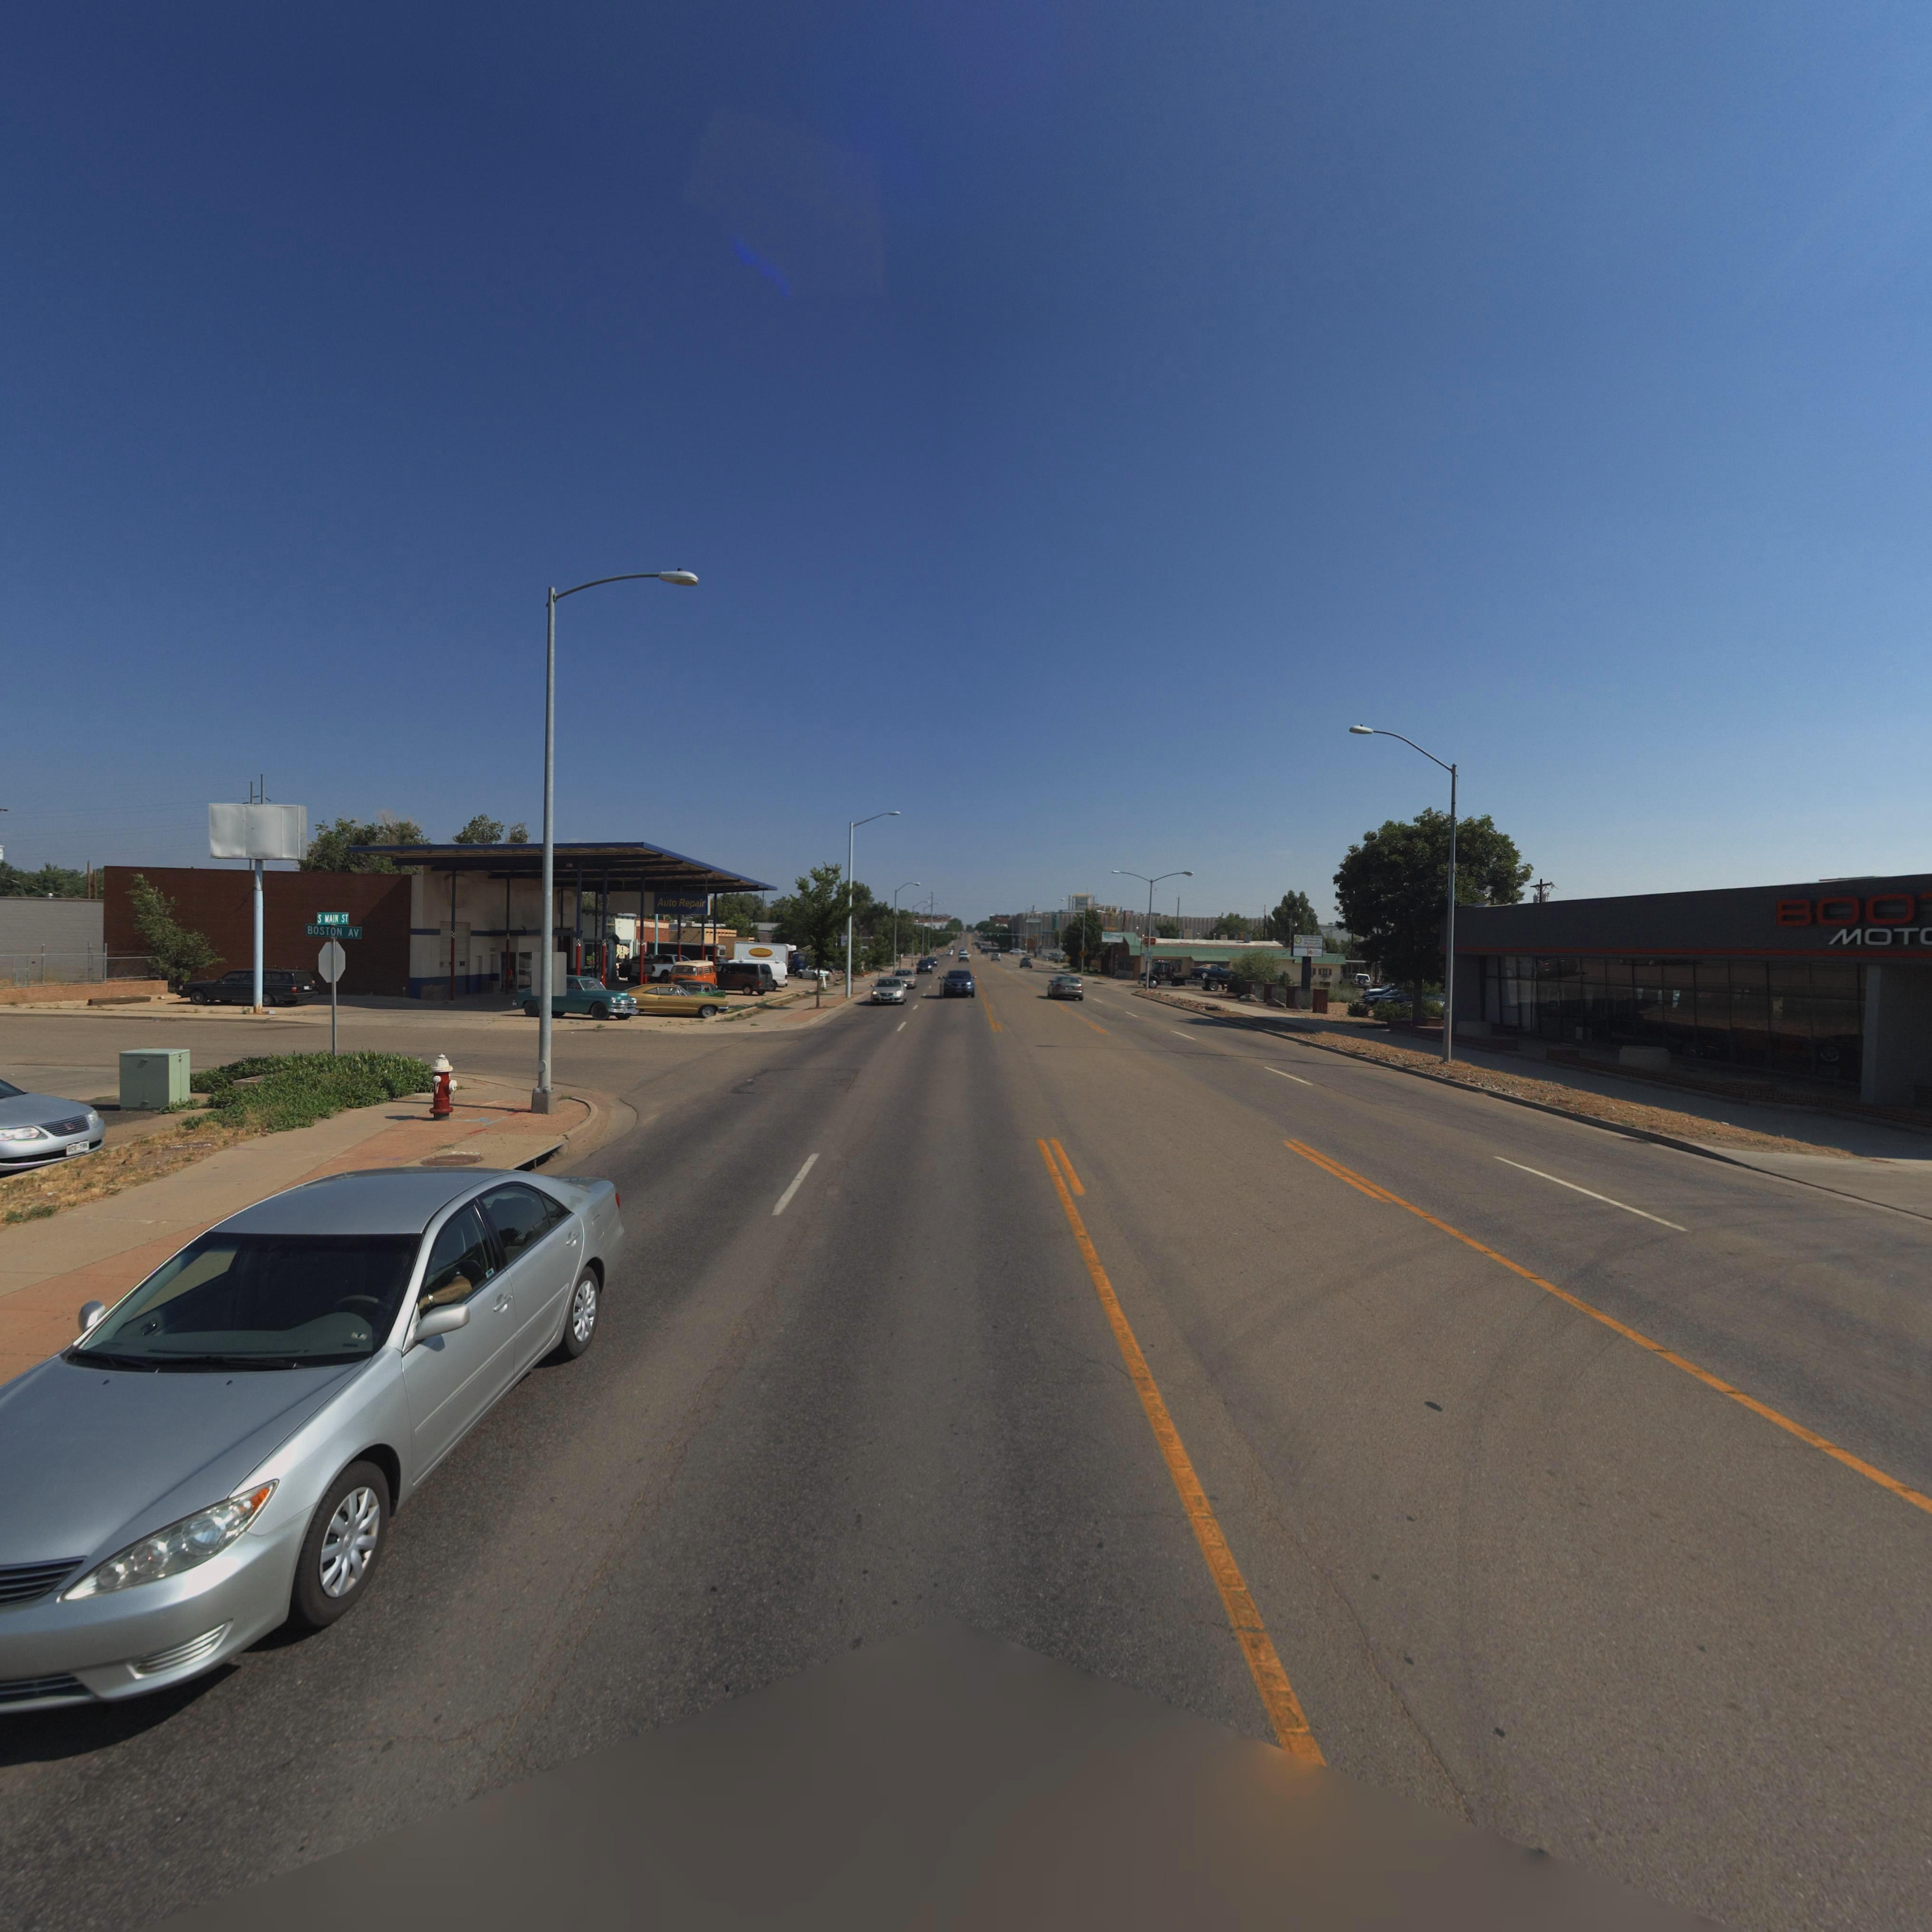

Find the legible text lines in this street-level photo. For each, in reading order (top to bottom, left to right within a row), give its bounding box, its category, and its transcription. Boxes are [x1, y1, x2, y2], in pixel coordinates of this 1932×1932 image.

[317, 914, 348, 923] StreetName: S MAIN ST
[1775, 892, 1915, 927] BusinessName: BOO
[308, 926, 359, 937] StreetName: BOSTON AV
[1828, 927, 1920, 945] BusinessName: MOT